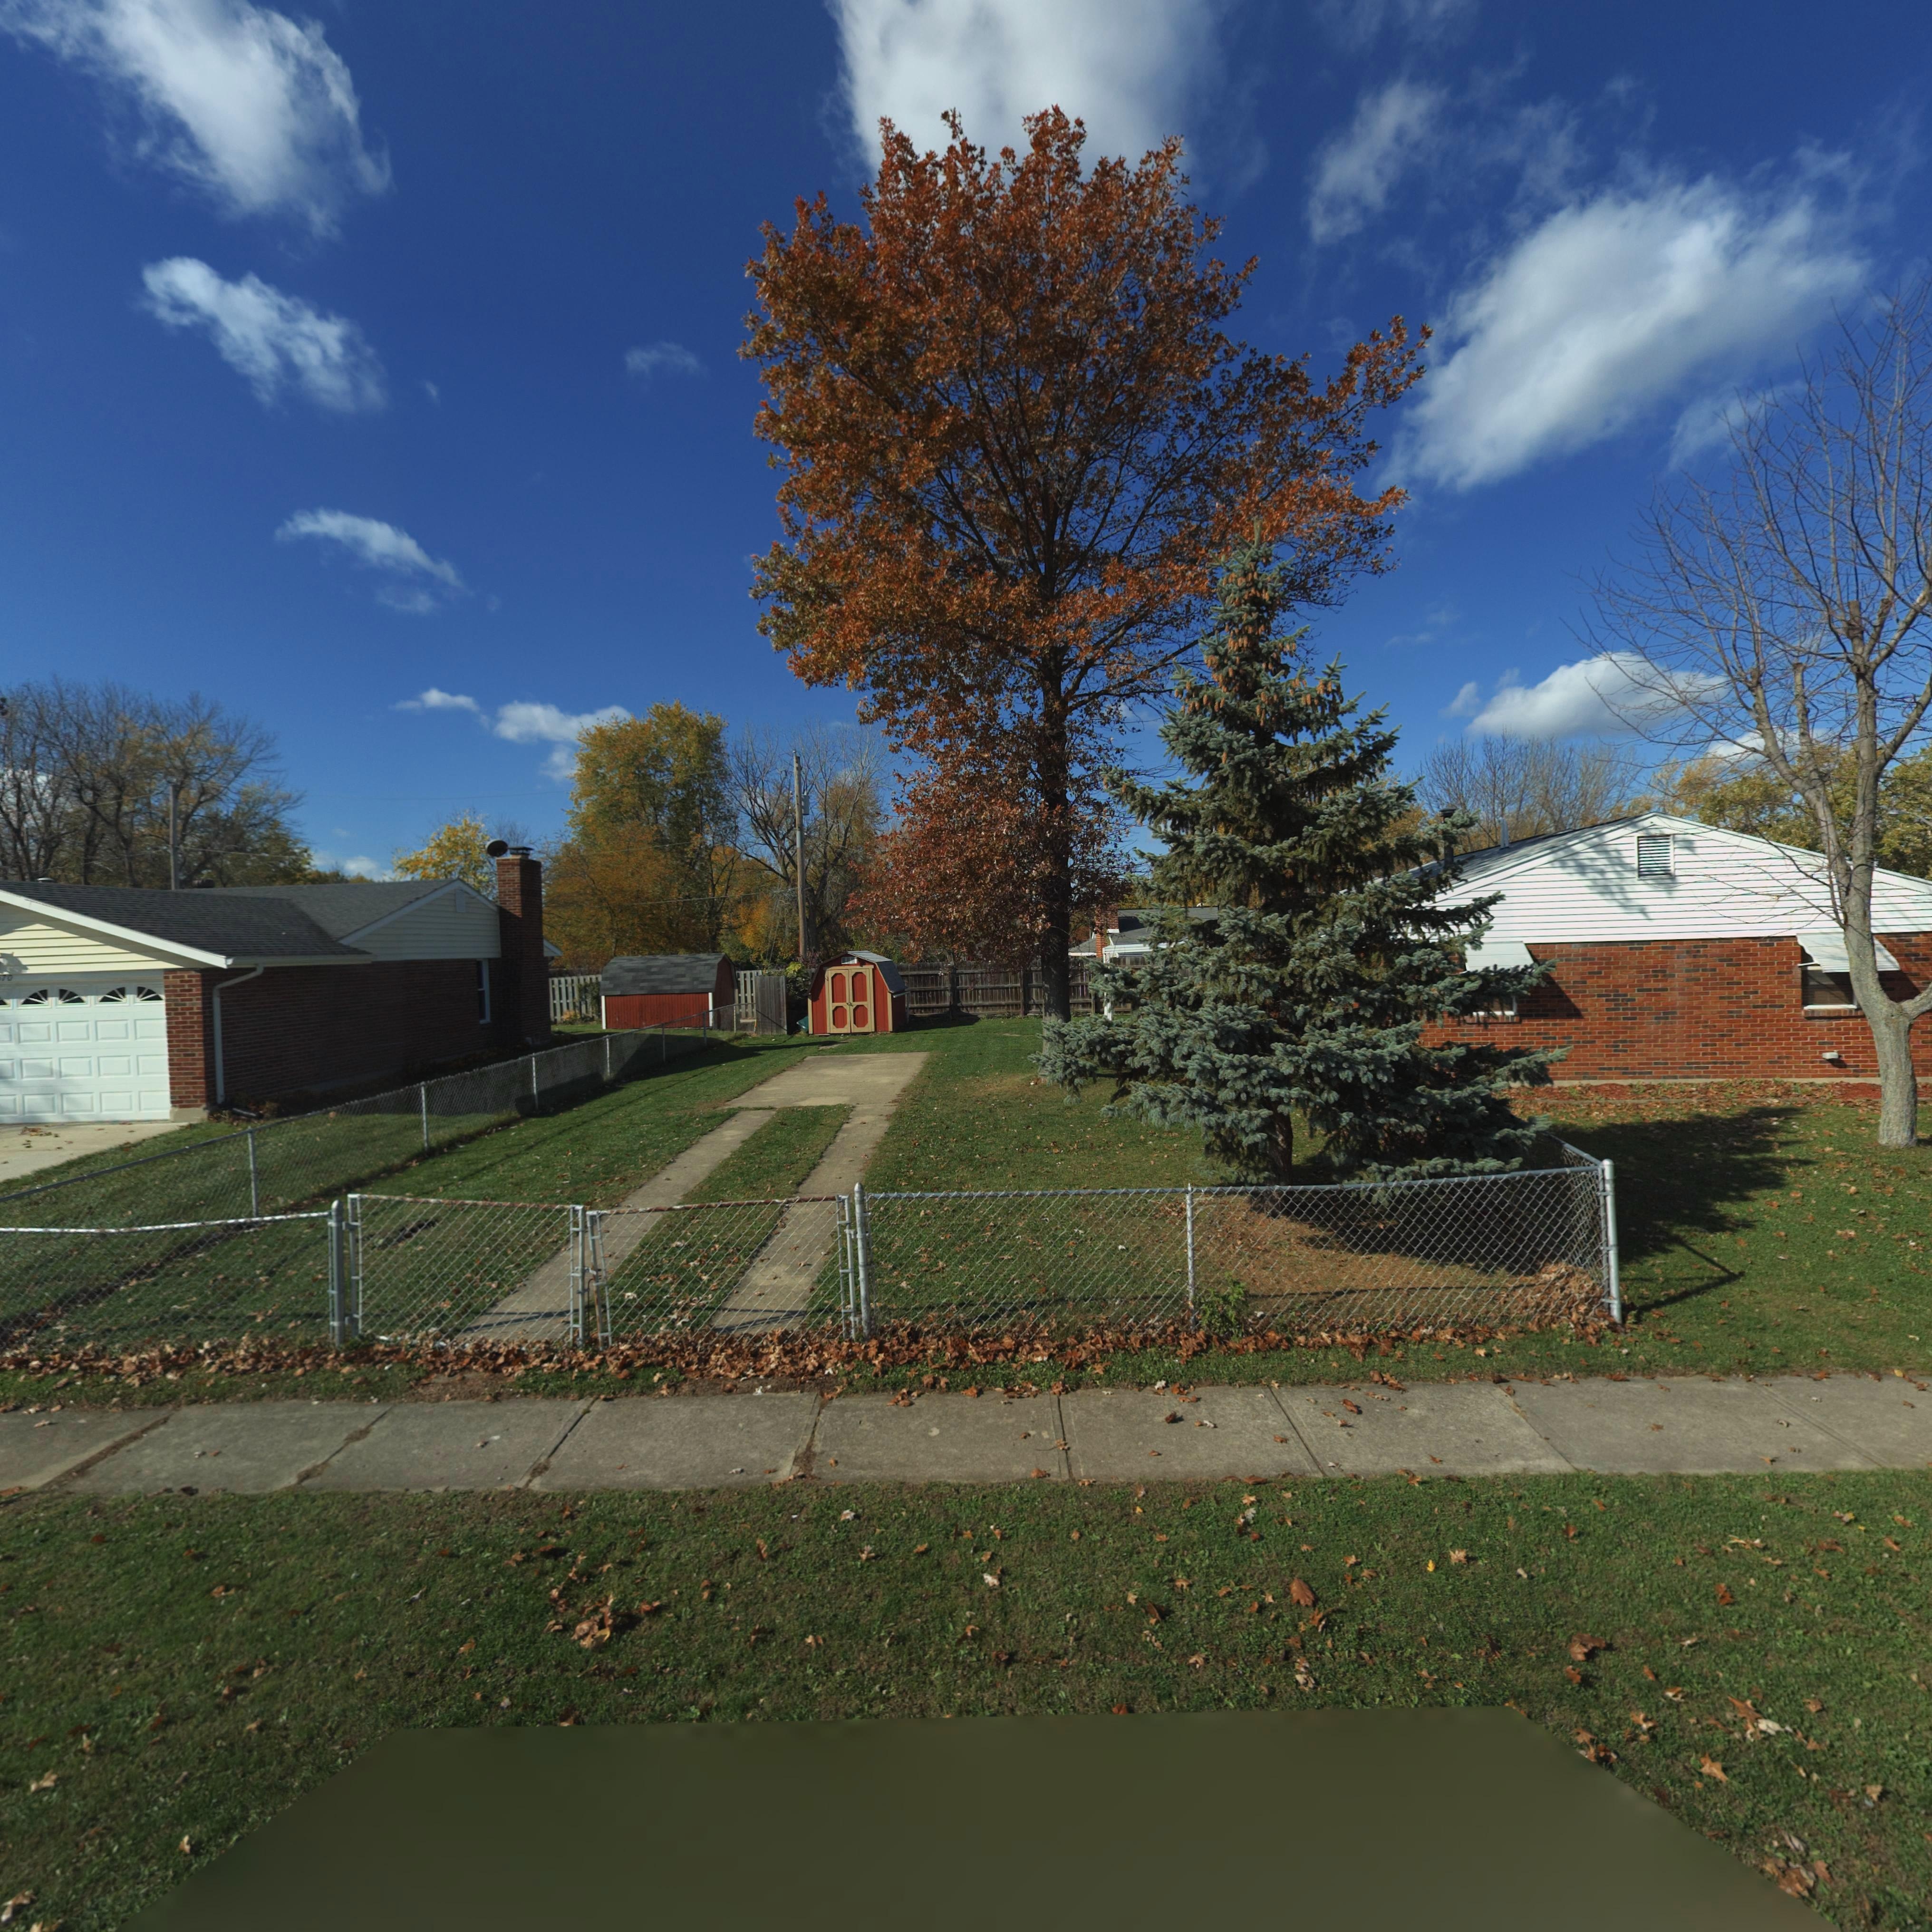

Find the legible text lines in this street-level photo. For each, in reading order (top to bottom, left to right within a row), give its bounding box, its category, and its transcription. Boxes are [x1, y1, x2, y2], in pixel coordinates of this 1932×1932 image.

[0, 973, 15, 983] StreetNumber: 70